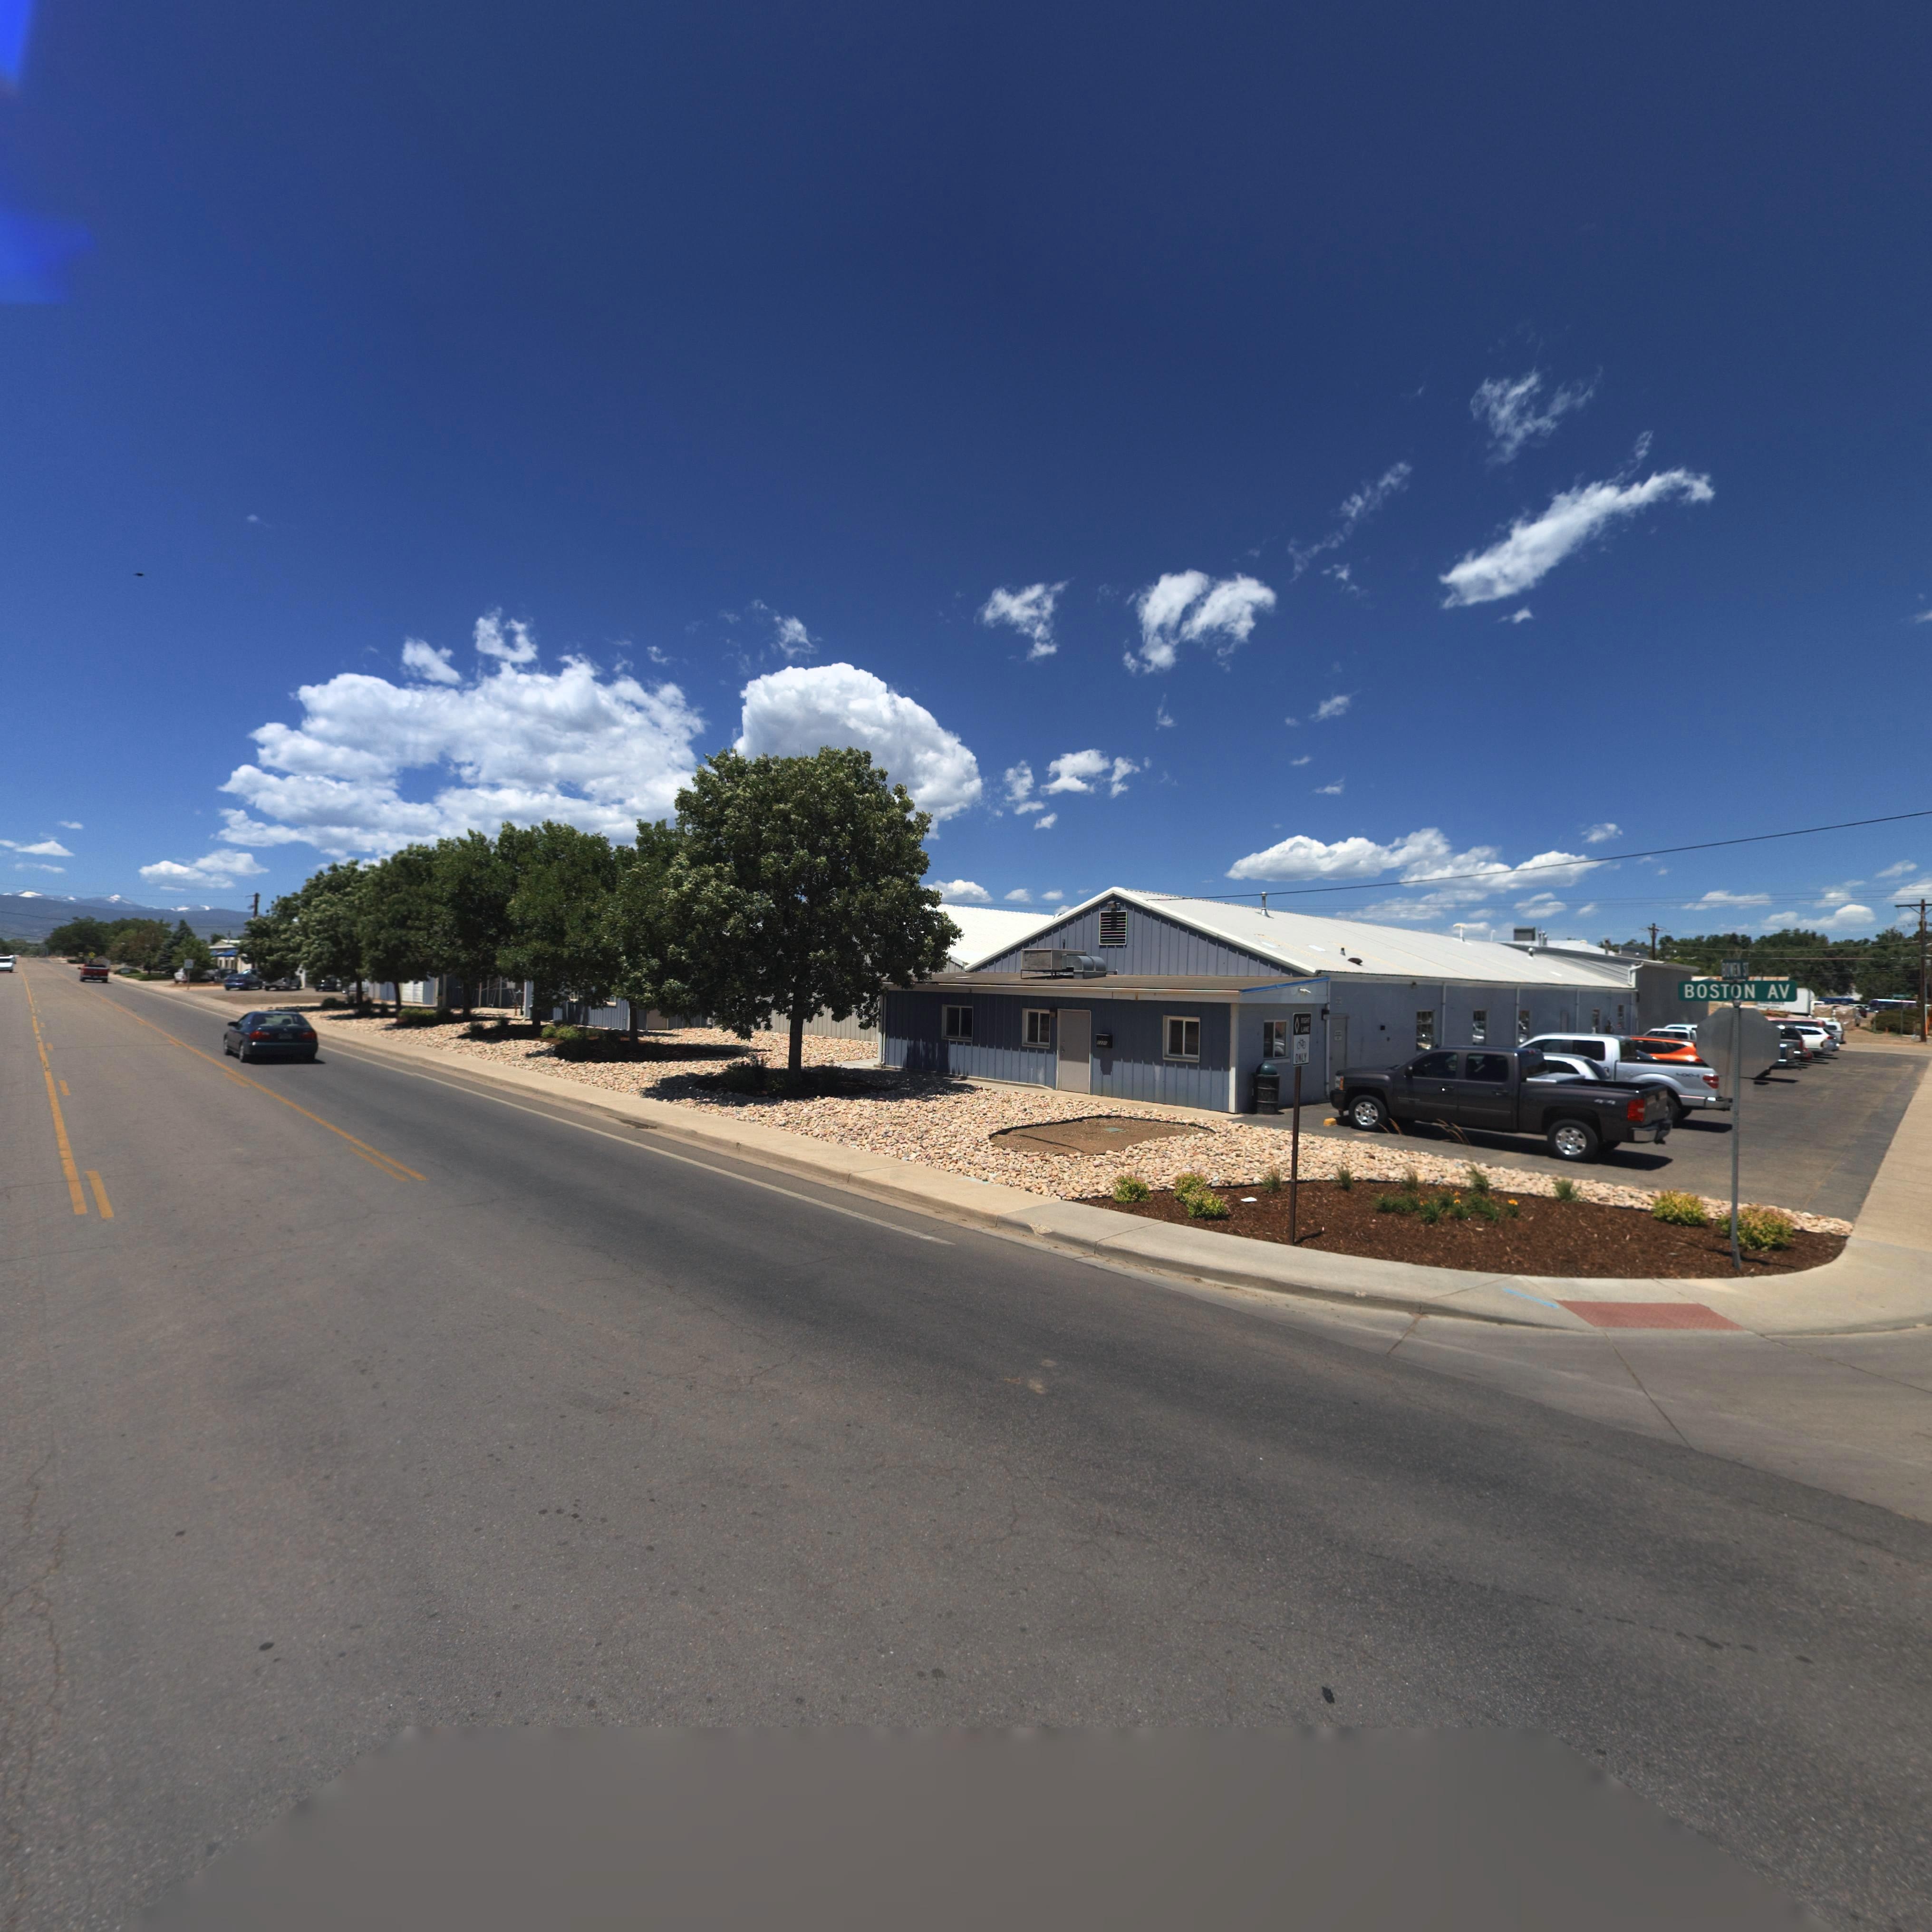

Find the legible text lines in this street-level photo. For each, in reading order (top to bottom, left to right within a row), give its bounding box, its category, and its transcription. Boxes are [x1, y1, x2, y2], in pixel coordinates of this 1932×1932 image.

[1721, 962, 1749, 977] StreetName: BOWEN ST
[1683, 983, 1791, 999] StreetName: BOSTON AV
[1097, 1040, 1107, 1045] StreetNumber: 1220